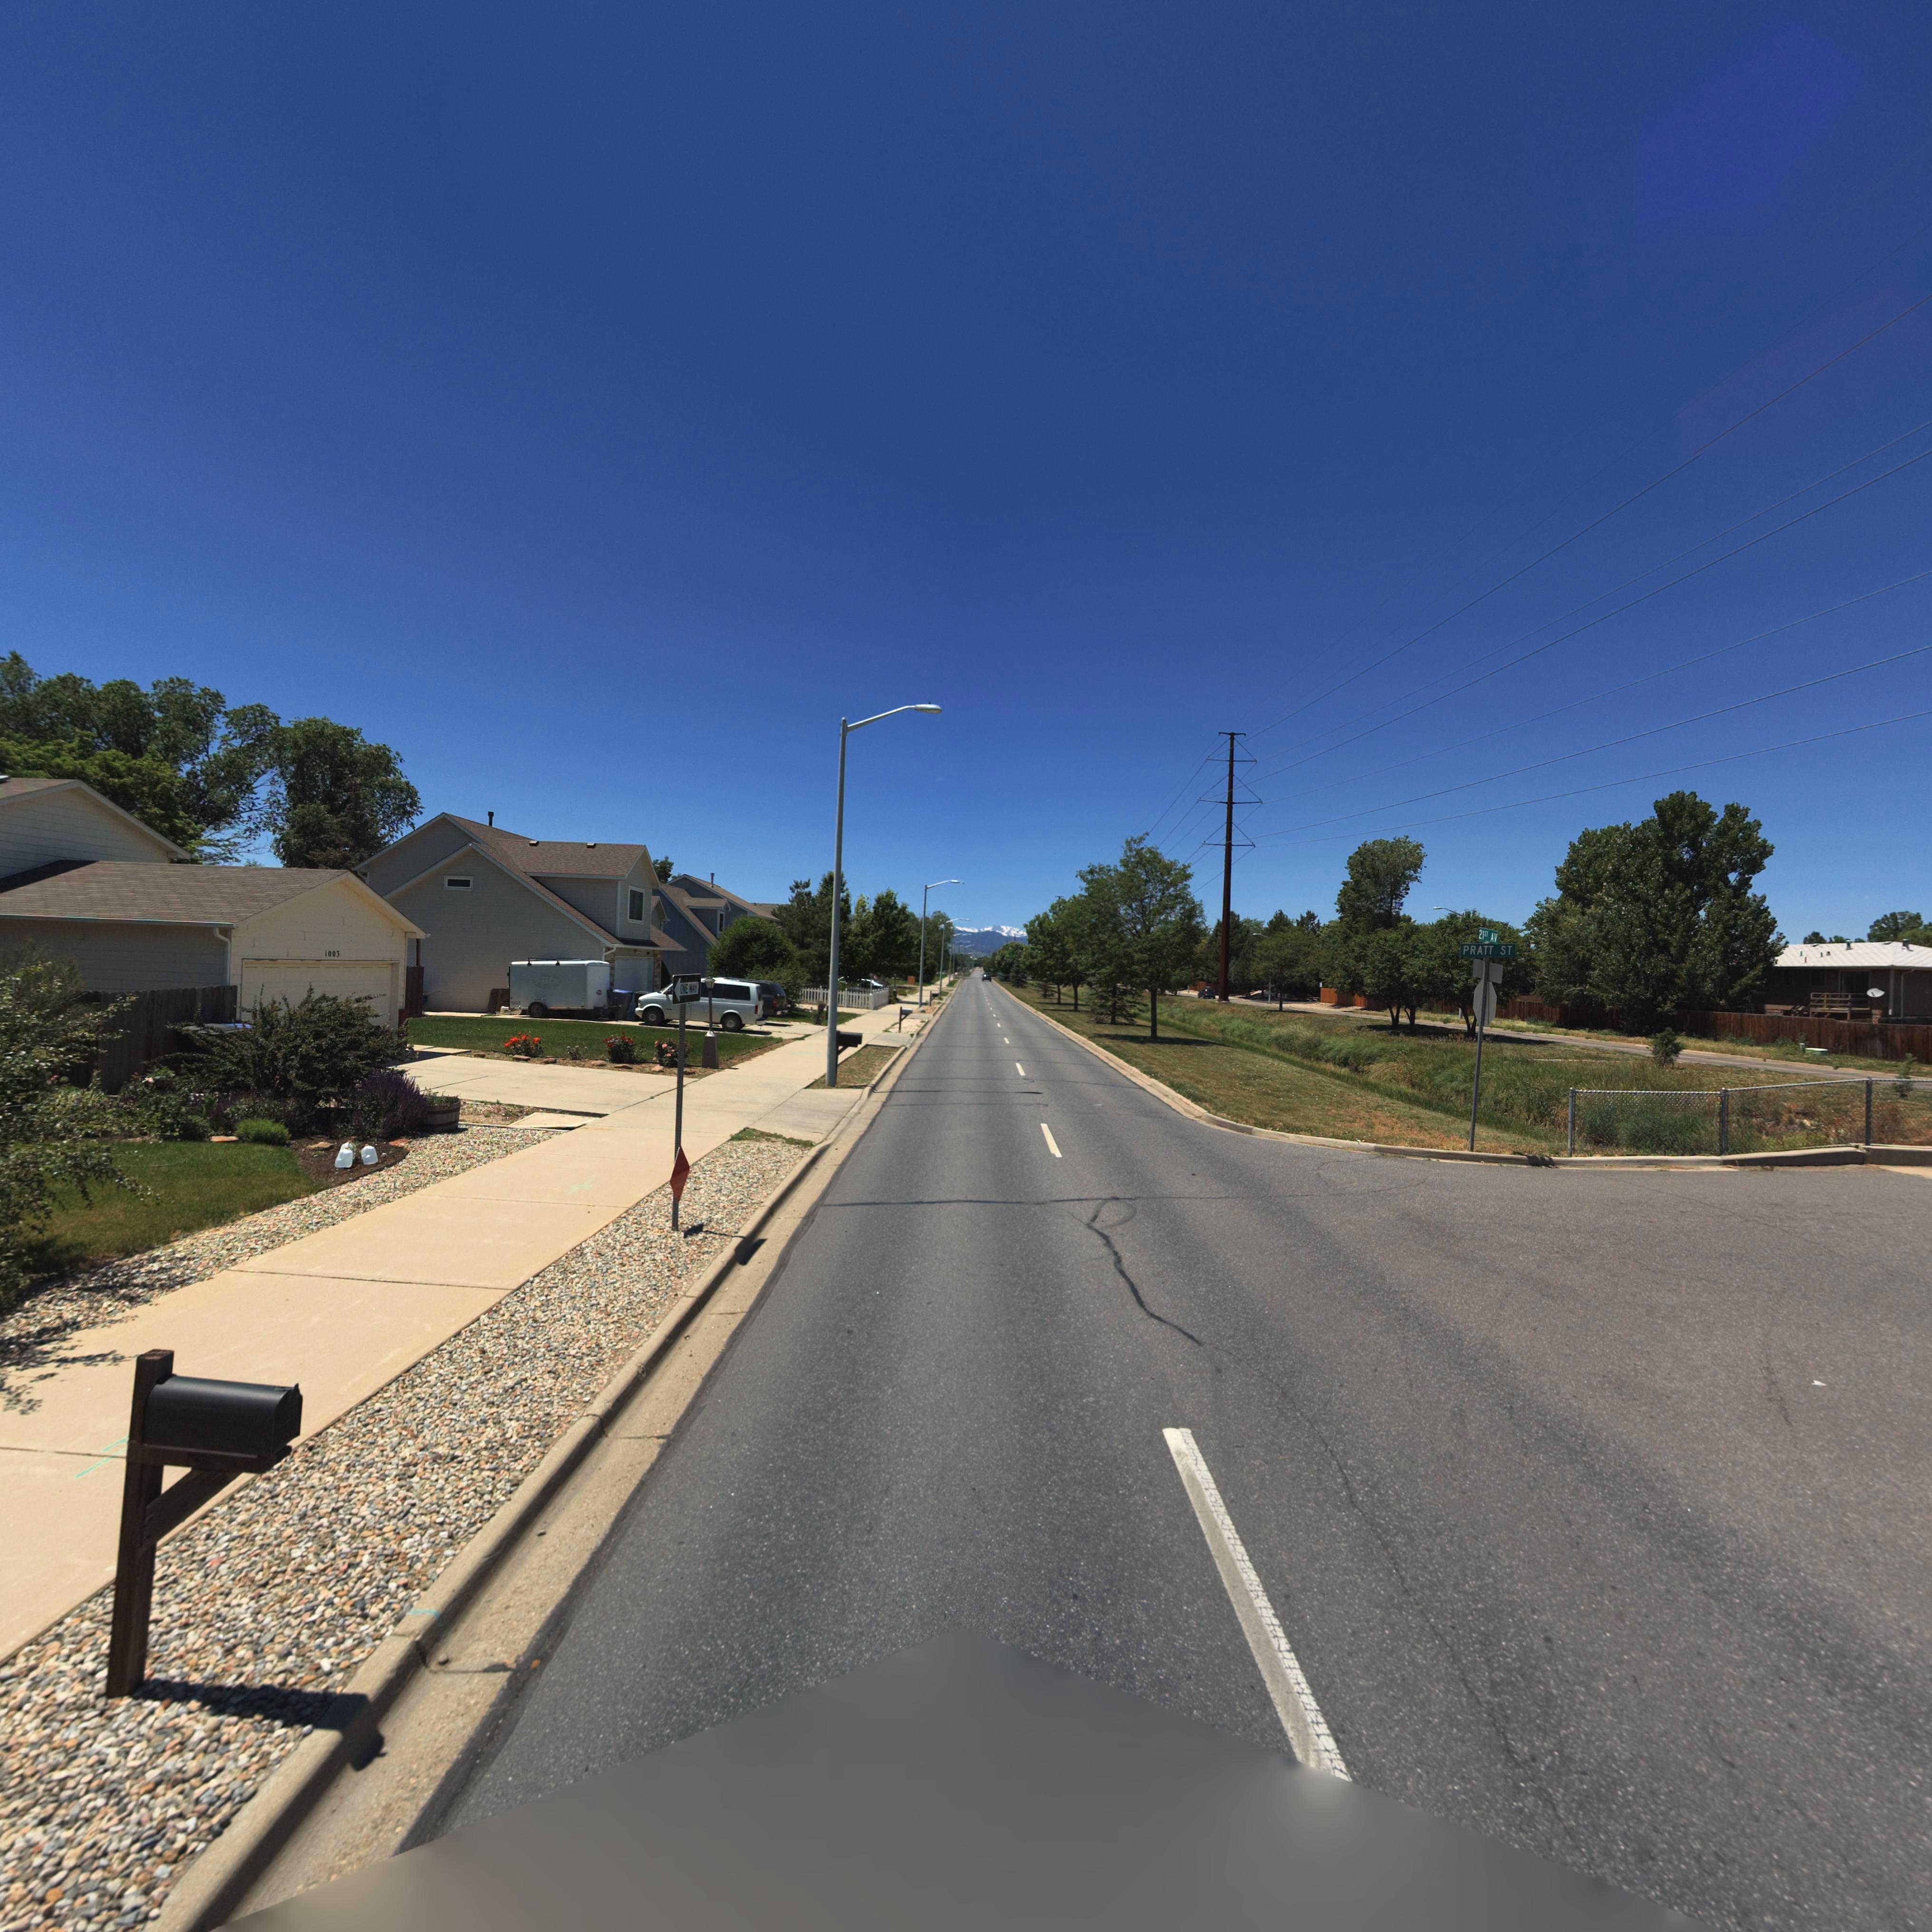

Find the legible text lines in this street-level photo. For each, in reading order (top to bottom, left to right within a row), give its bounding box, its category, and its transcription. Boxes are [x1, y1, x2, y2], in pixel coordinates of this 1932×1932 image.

[1478, 928, 1498, 943] StreetName: 21ST AV
[323, 949, 341, 957] StreetNumber: 1003
[1462, 945, 1514, 956] StreetName: PRATT ST